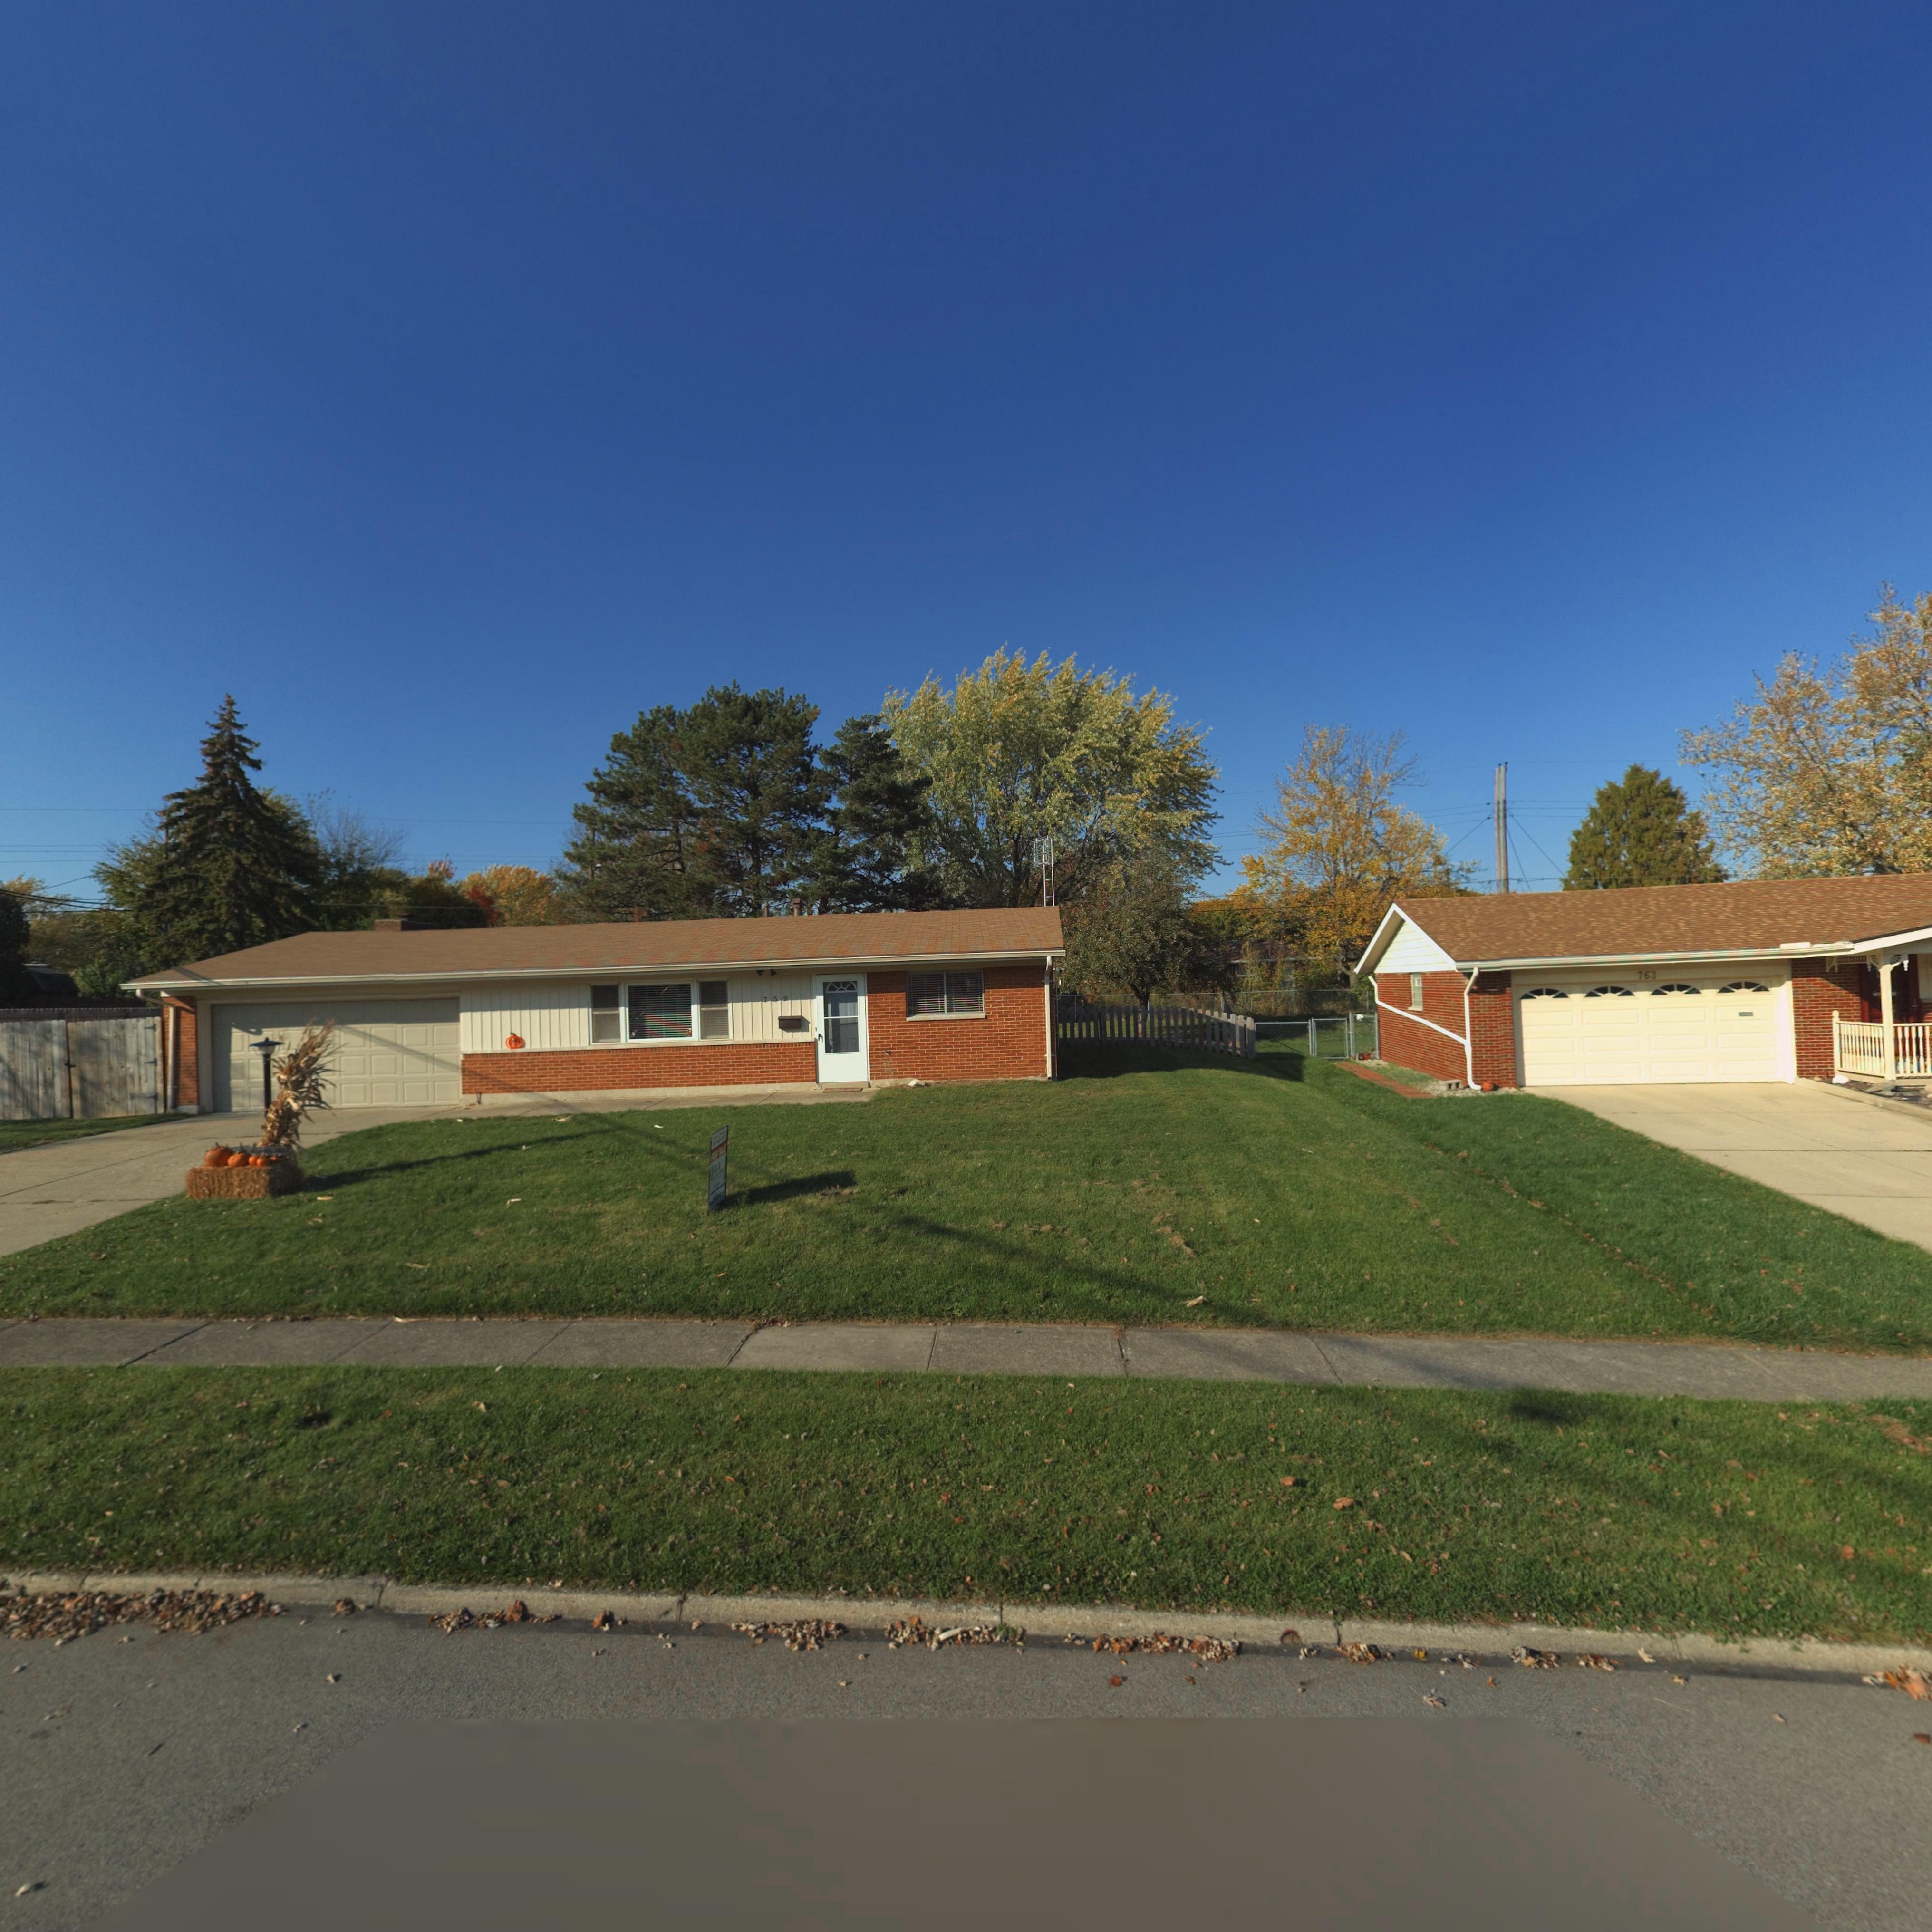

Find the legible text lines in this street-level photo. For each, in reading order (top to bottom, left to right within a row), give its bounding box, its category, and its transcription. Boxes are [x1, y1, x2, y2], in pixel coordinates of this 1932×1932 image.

[1636, 970, 1657, 980] StreetNumber: 763
[762, 995, 789, 1003] StreetNumber: 759